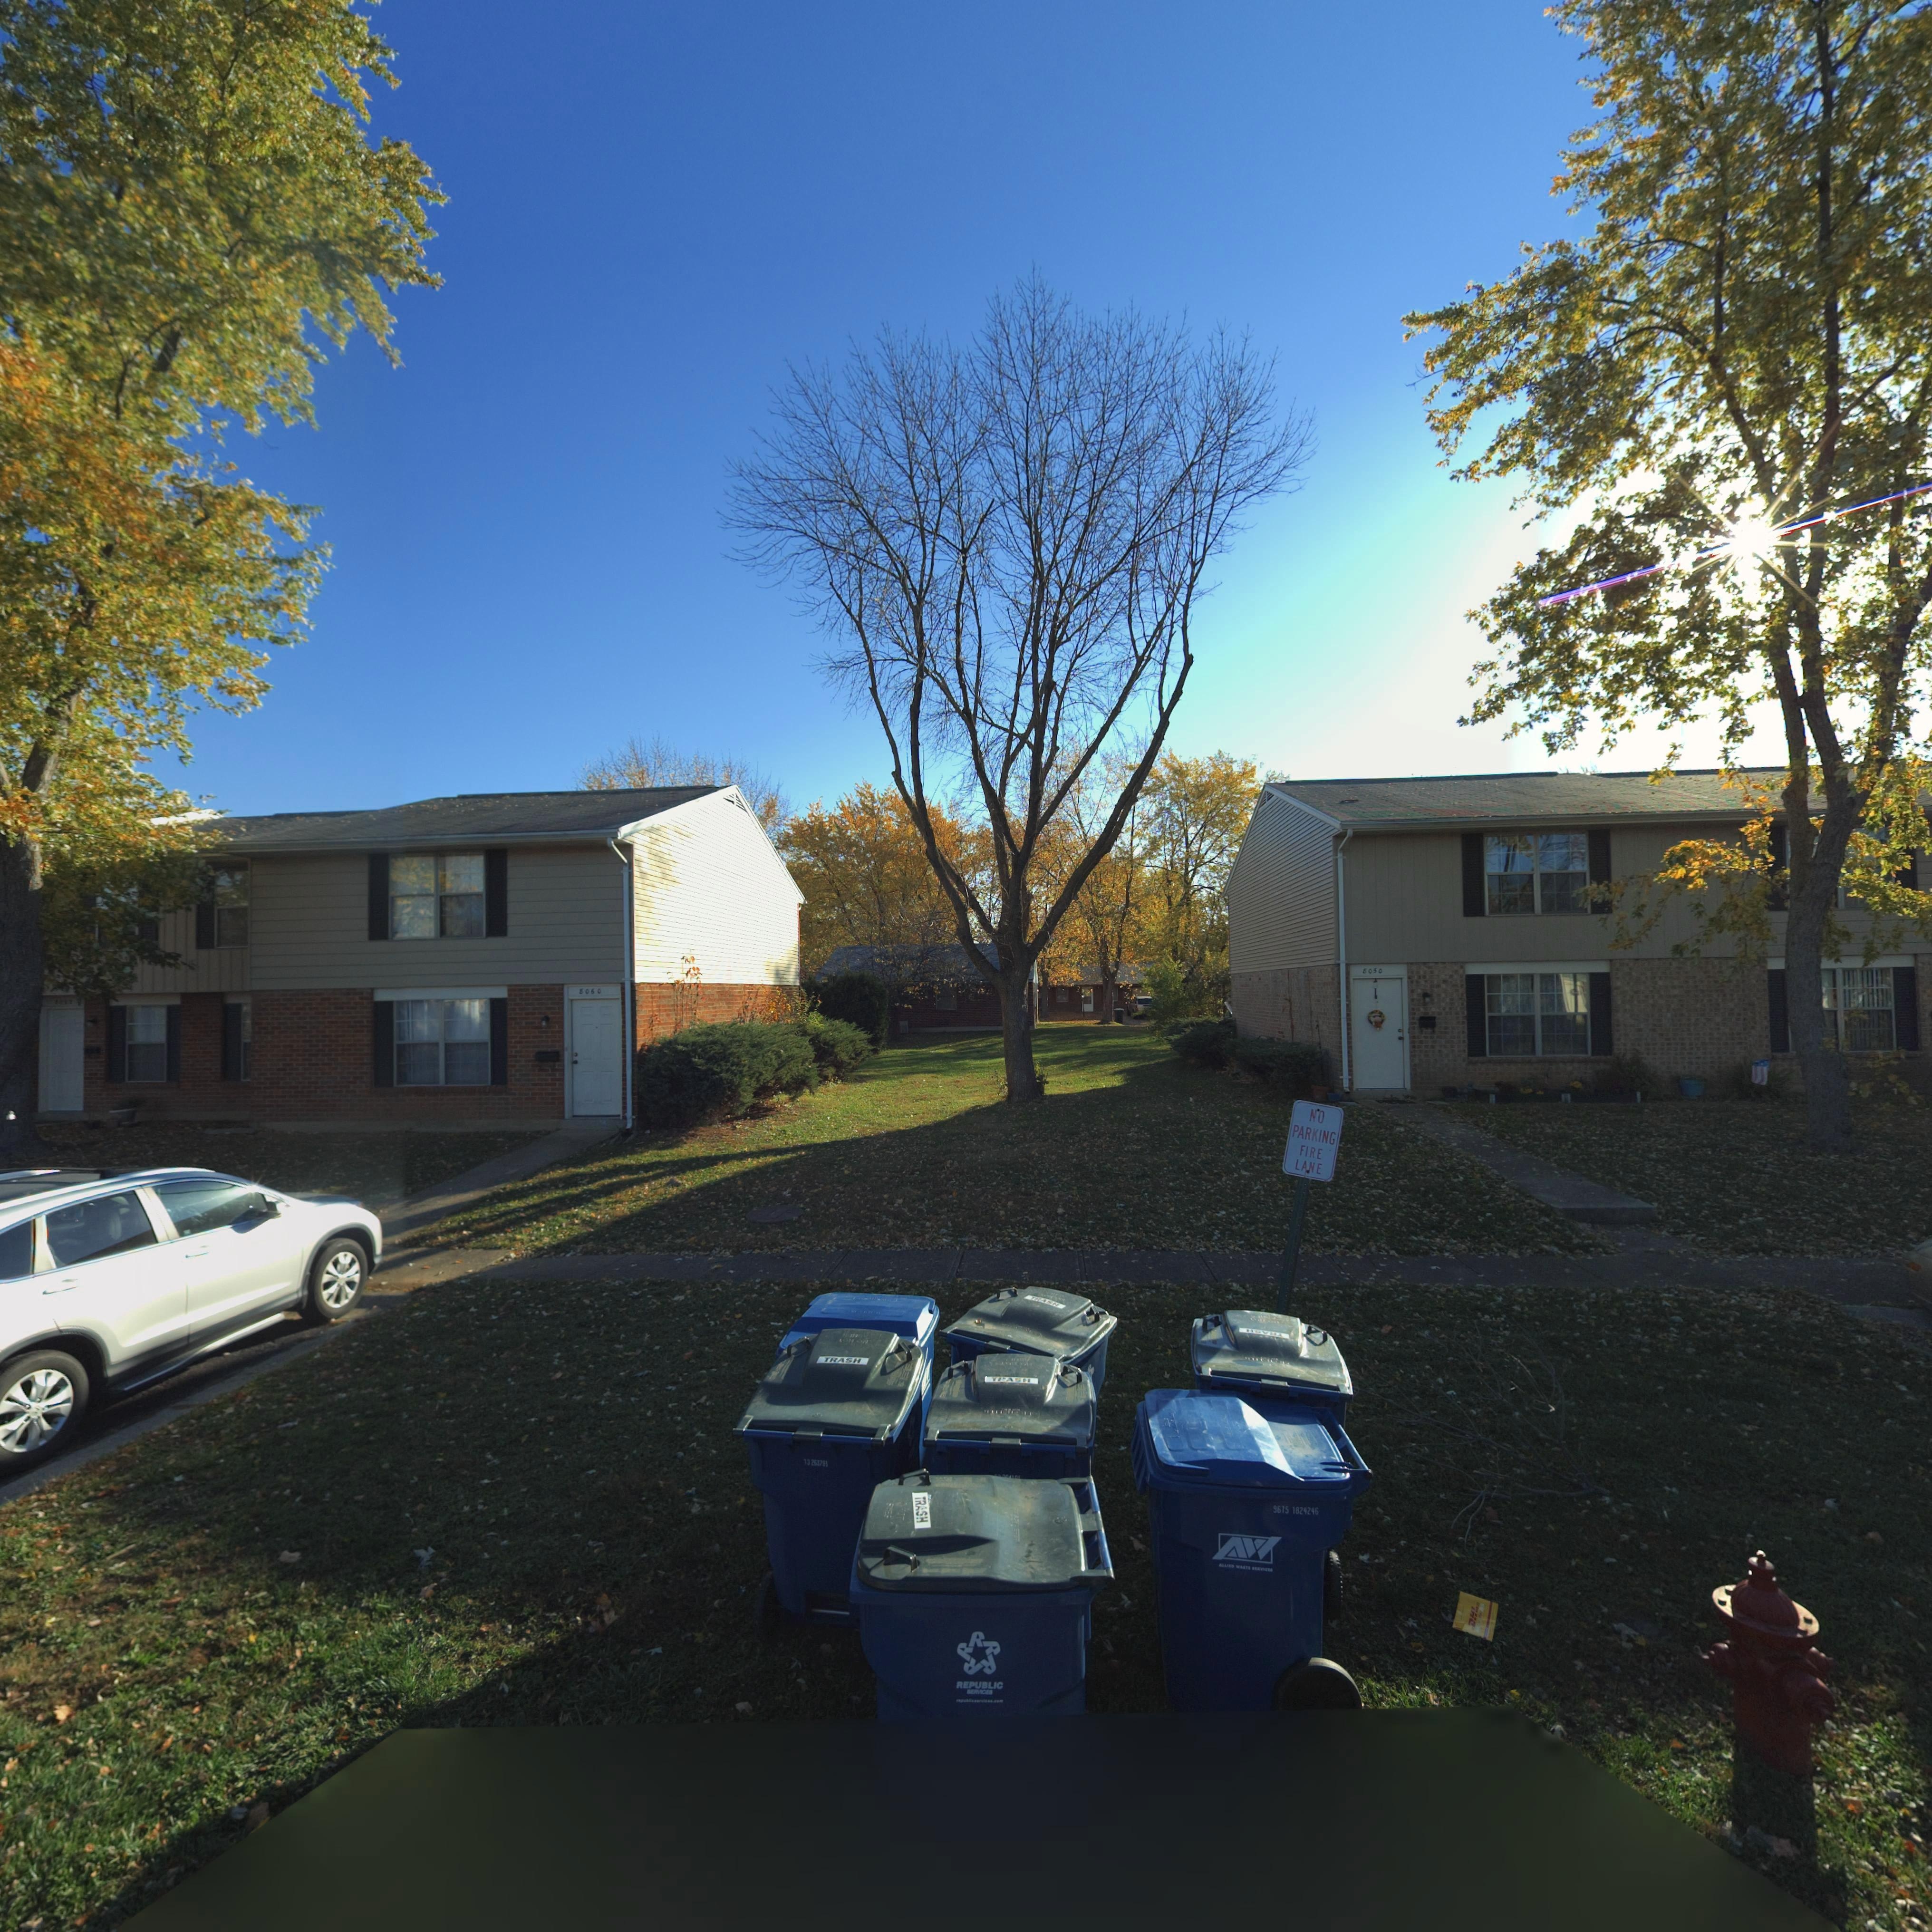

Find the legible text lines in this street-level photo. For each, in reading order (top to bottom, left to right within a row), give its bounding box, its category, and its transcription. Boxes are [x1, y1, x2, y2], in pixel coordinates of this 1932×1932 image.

[1362, 967, 1384, 976] StreetNumber: 8050
[578, 987, 603, 996] StreetNumber: 8060
[1307, 1107, 1327, 1127] None: NO
[1290, 1123, 1339, 1149] None: PARKING
[1297, 1142, 1326, 1162] None: FIRE
[1293, 1157, 1326, 1179] None: LANE
[1027, 1294, 1063, 1308] None: TRASH
[822, 1356, 862, 1365] None: TRASH
[988, 1375, 1037, 1386] None: TRASH
[912, 1494, 928, 1521] None: TRASH